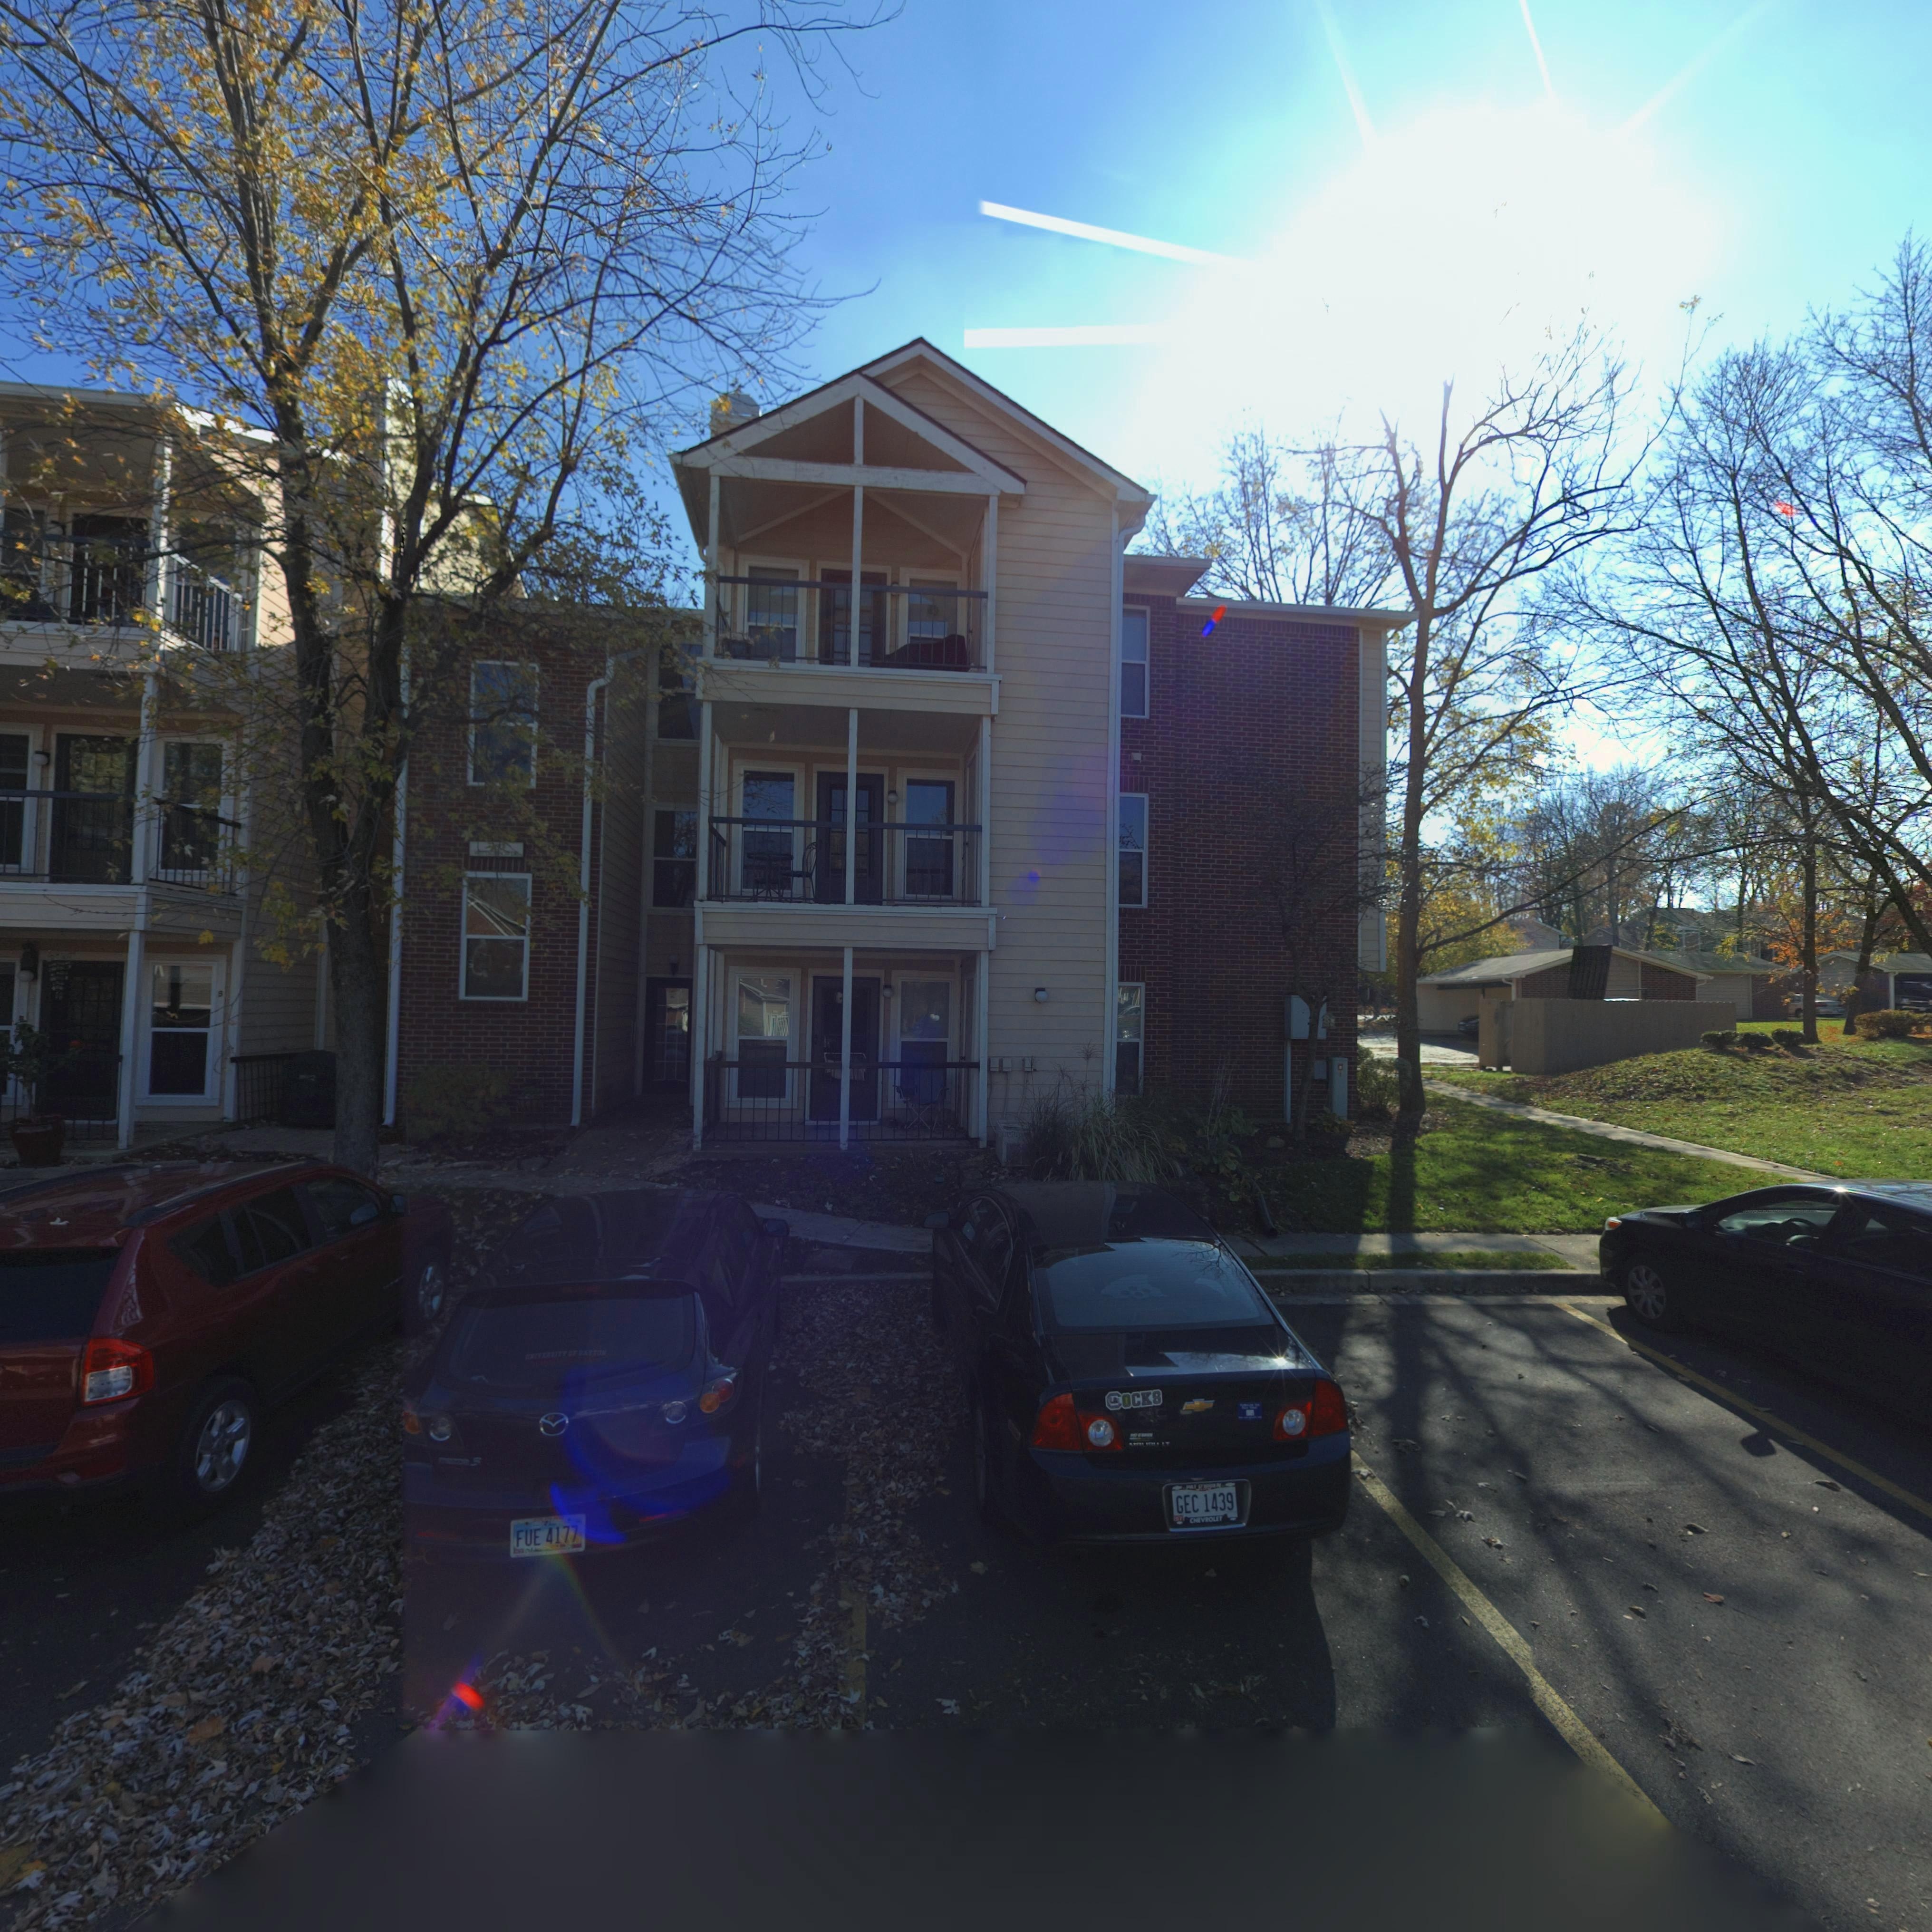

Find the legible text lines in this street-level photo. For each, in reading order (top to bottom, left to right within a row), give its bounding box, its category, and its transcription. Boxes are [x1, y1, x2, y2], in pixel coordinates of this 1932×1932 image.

[1102, 1386, 1165, 1414] None: COCKS
[1174, 1488, 1236, 1517] None: GEC 1439
[1188, 1514, 1224, 1526] None: CHEVROLET
[514, 1522, 582, 1550] None: FUE 4177